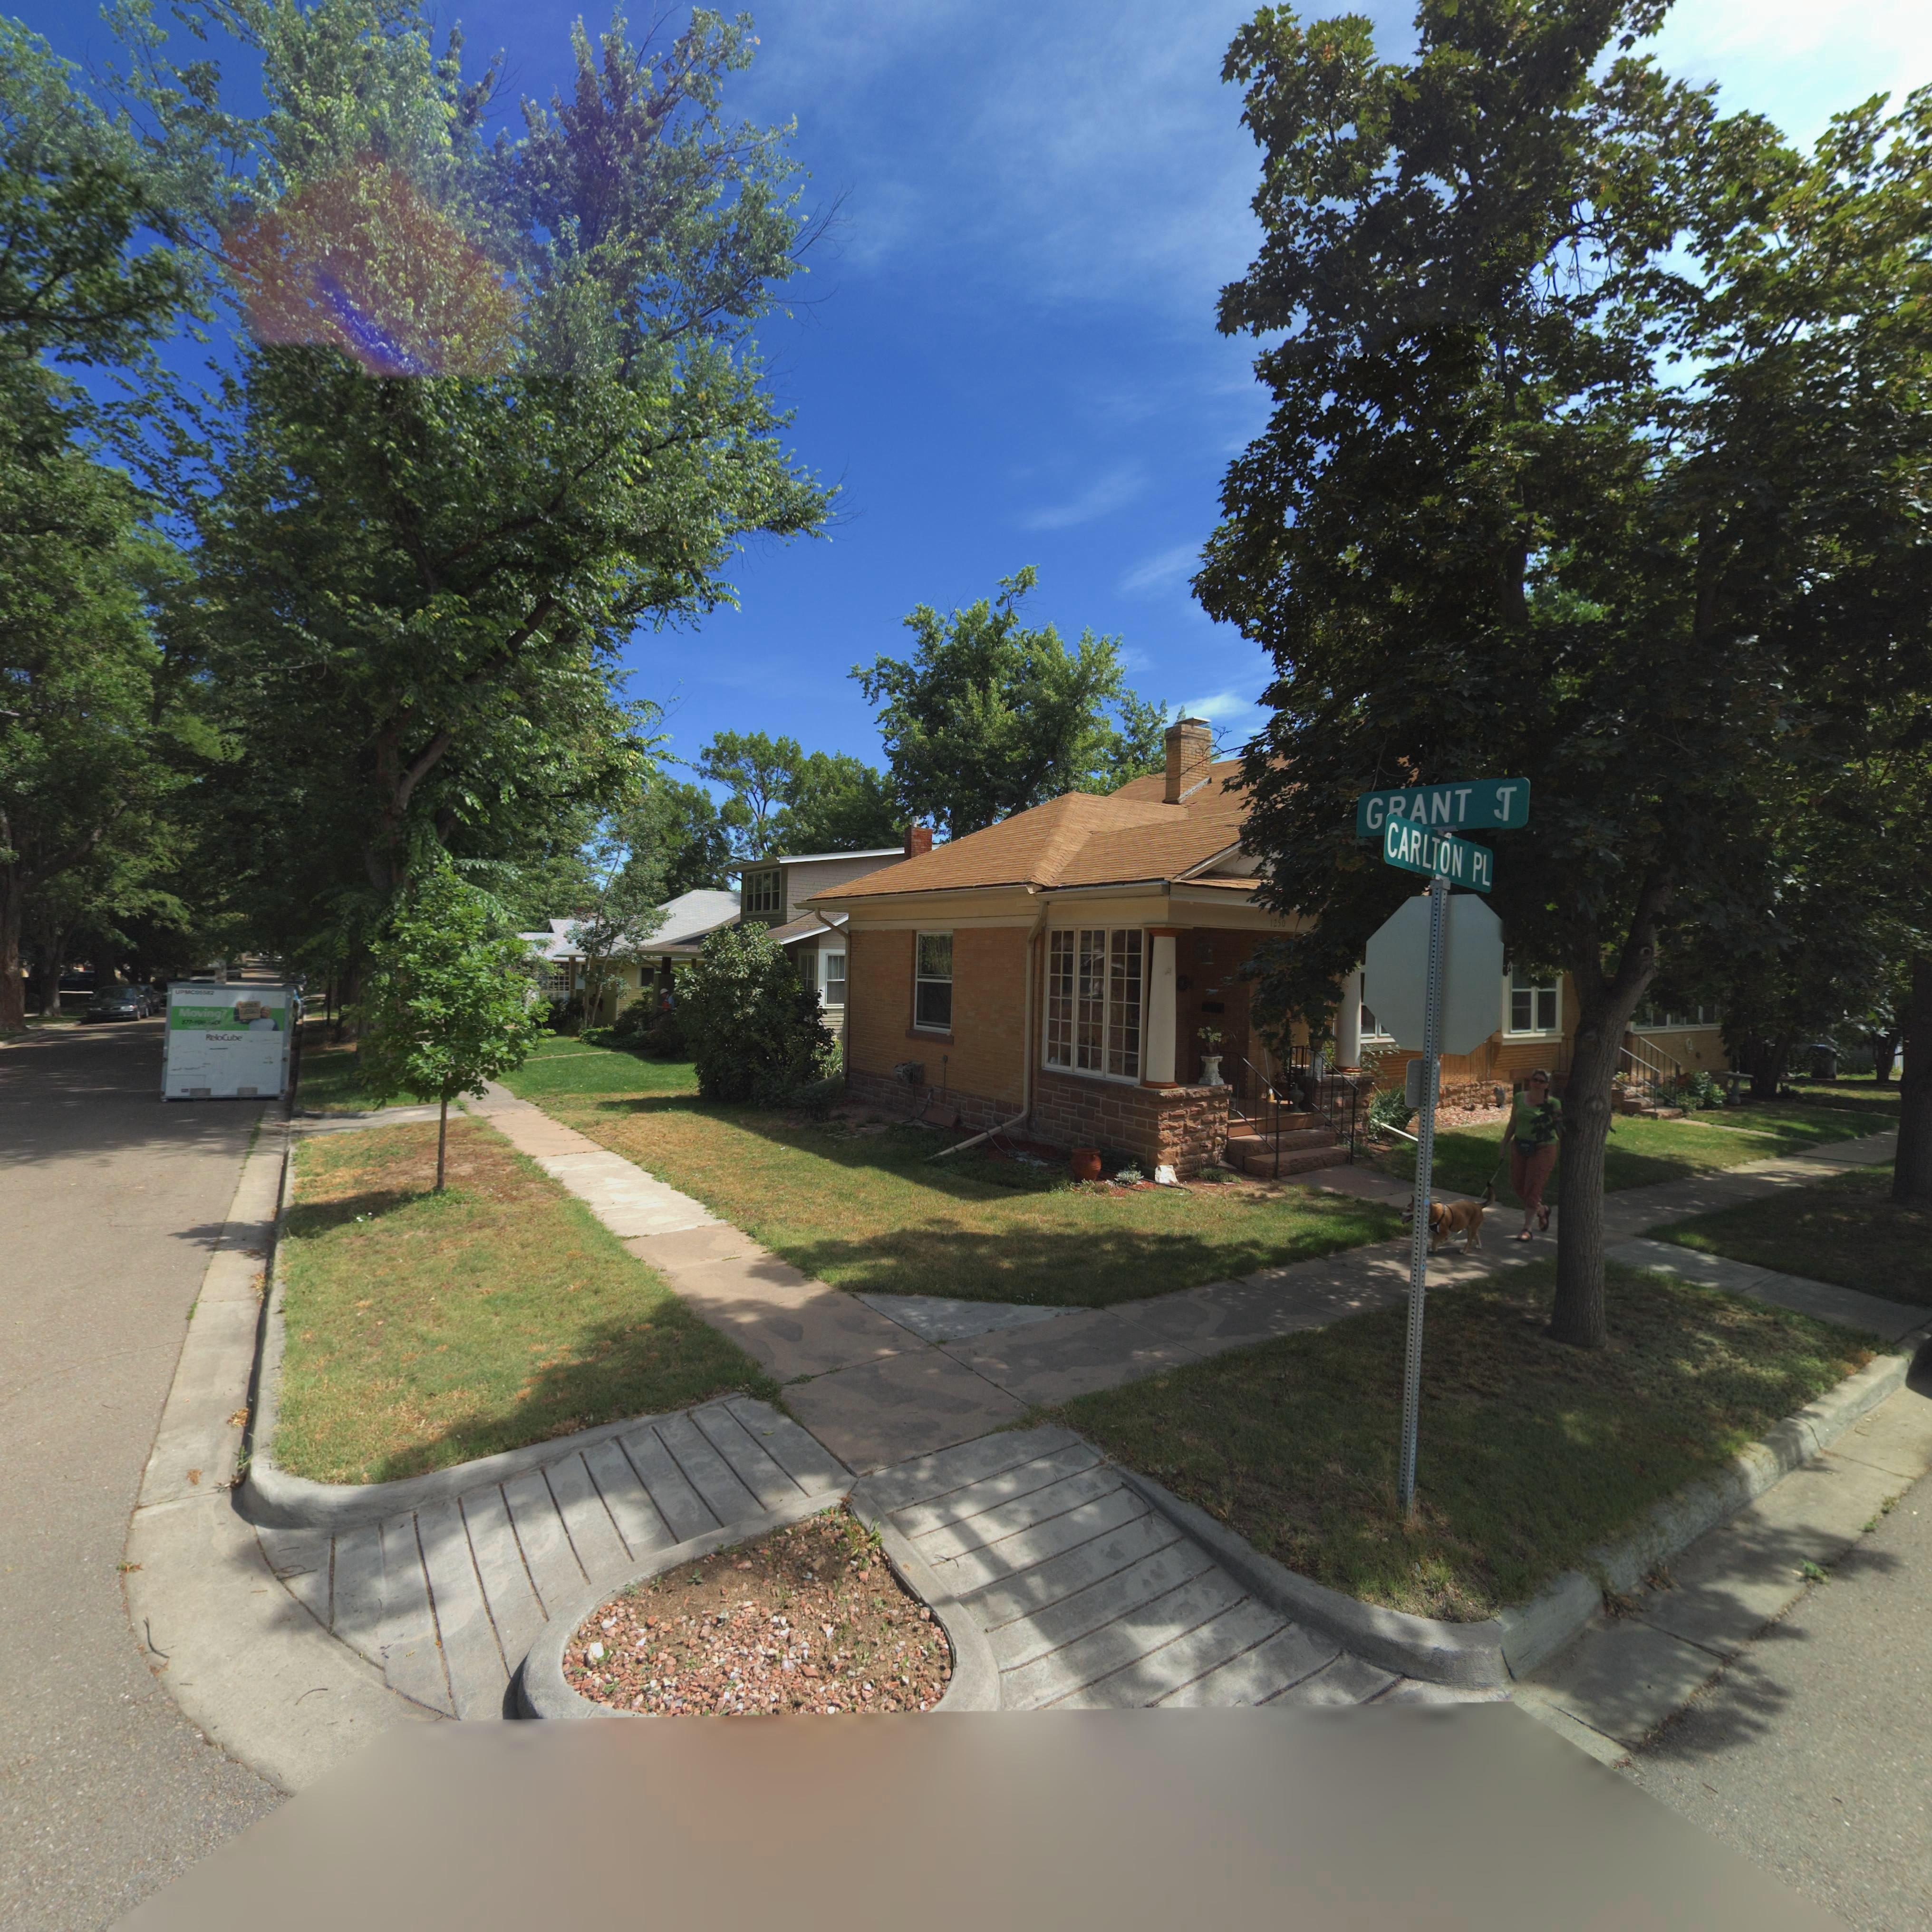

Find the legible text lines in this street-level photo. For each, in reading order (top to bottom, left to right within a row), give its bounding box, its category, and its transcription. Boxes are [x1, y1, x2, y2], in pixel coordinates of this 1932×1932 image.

[1366, 786, 1517, 829] StreetName: G**NT **
[1387, 821, 1490, 887] StreetName: CARLTON PL
[1270, 918, 1285, 927] StreetNumber: 1250